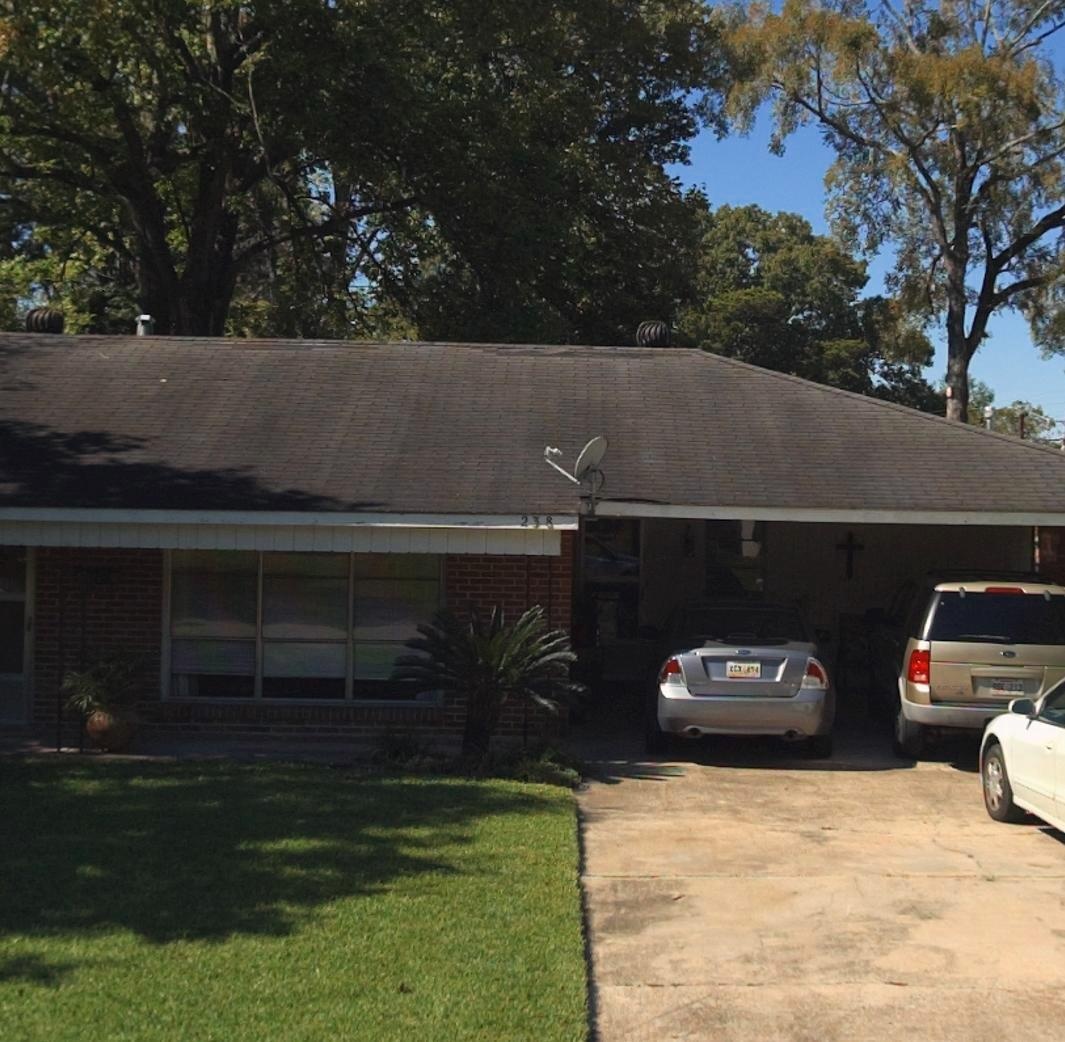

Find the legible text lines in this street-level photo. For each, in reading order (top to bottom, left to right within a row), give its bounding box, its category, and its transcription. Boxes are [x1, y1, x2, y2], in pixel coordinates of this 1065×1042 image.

[518, 514, 554, 530] StreetNumber: 238